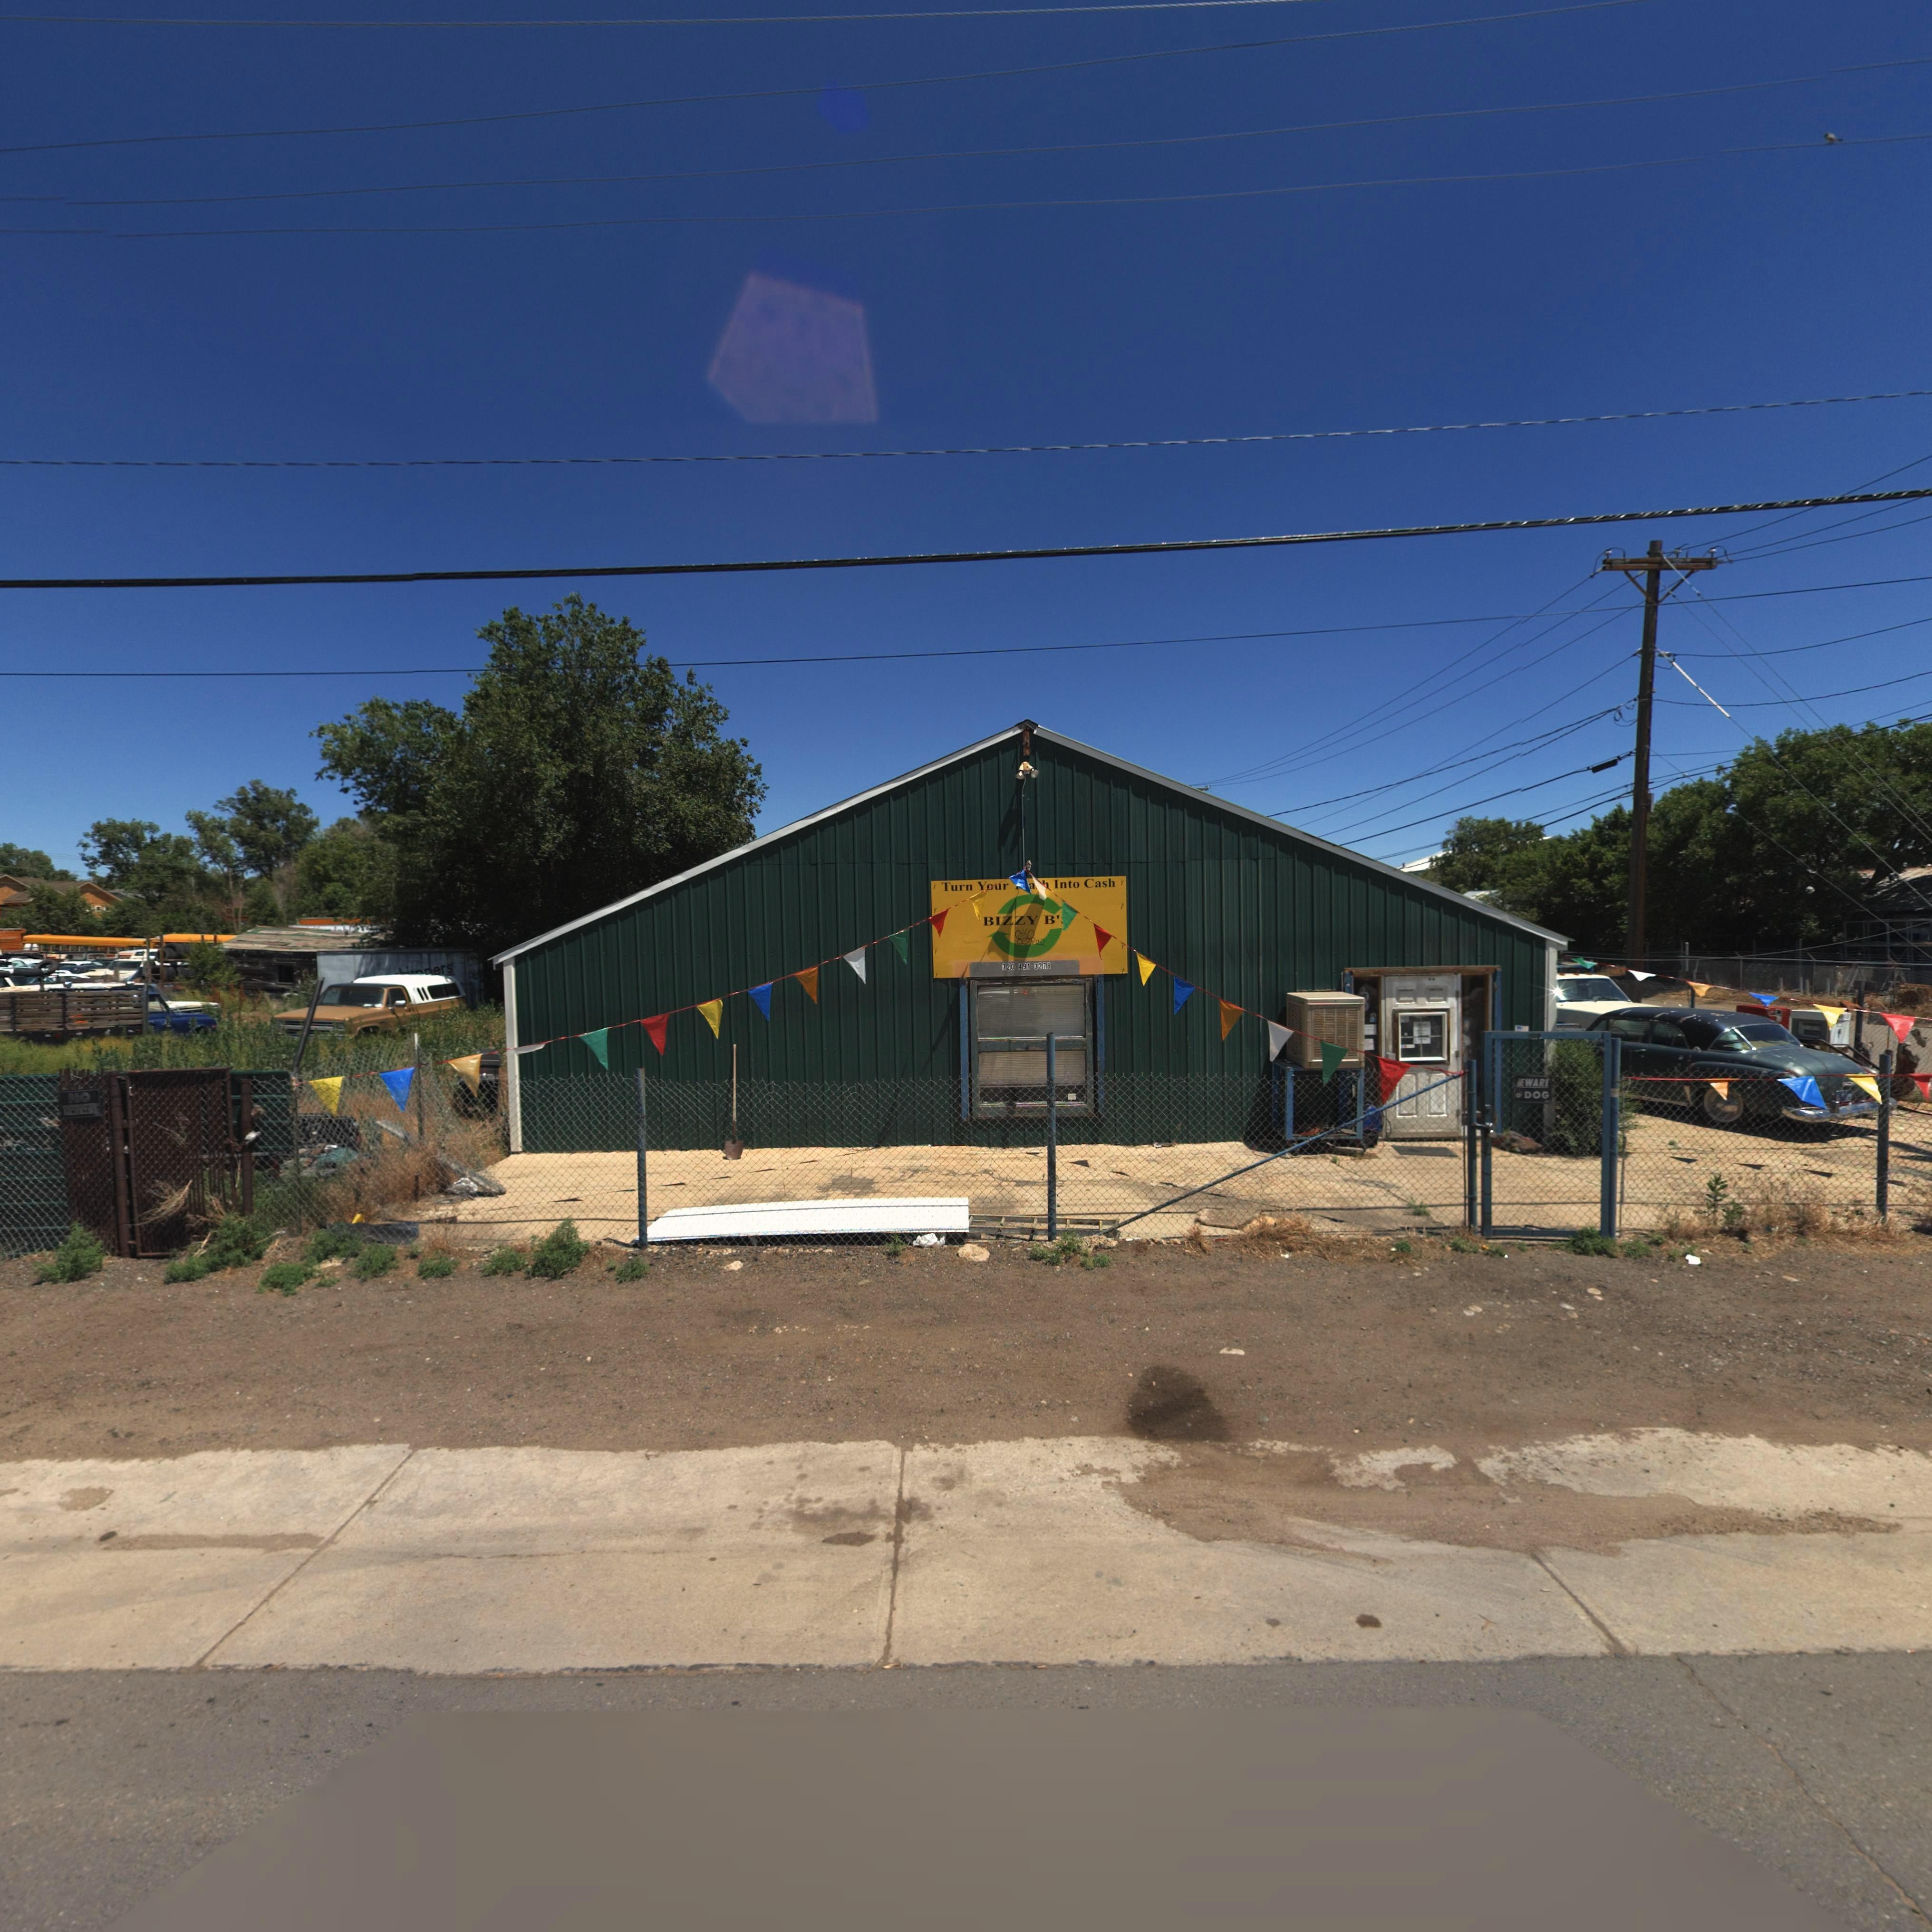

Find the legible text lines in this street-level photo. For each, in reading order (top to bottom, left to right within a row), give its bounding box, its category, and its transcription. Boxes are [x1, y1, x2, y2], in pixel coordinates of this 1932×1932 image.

[984, 913, 1069, 926] BusinessName: BIZZY B'*